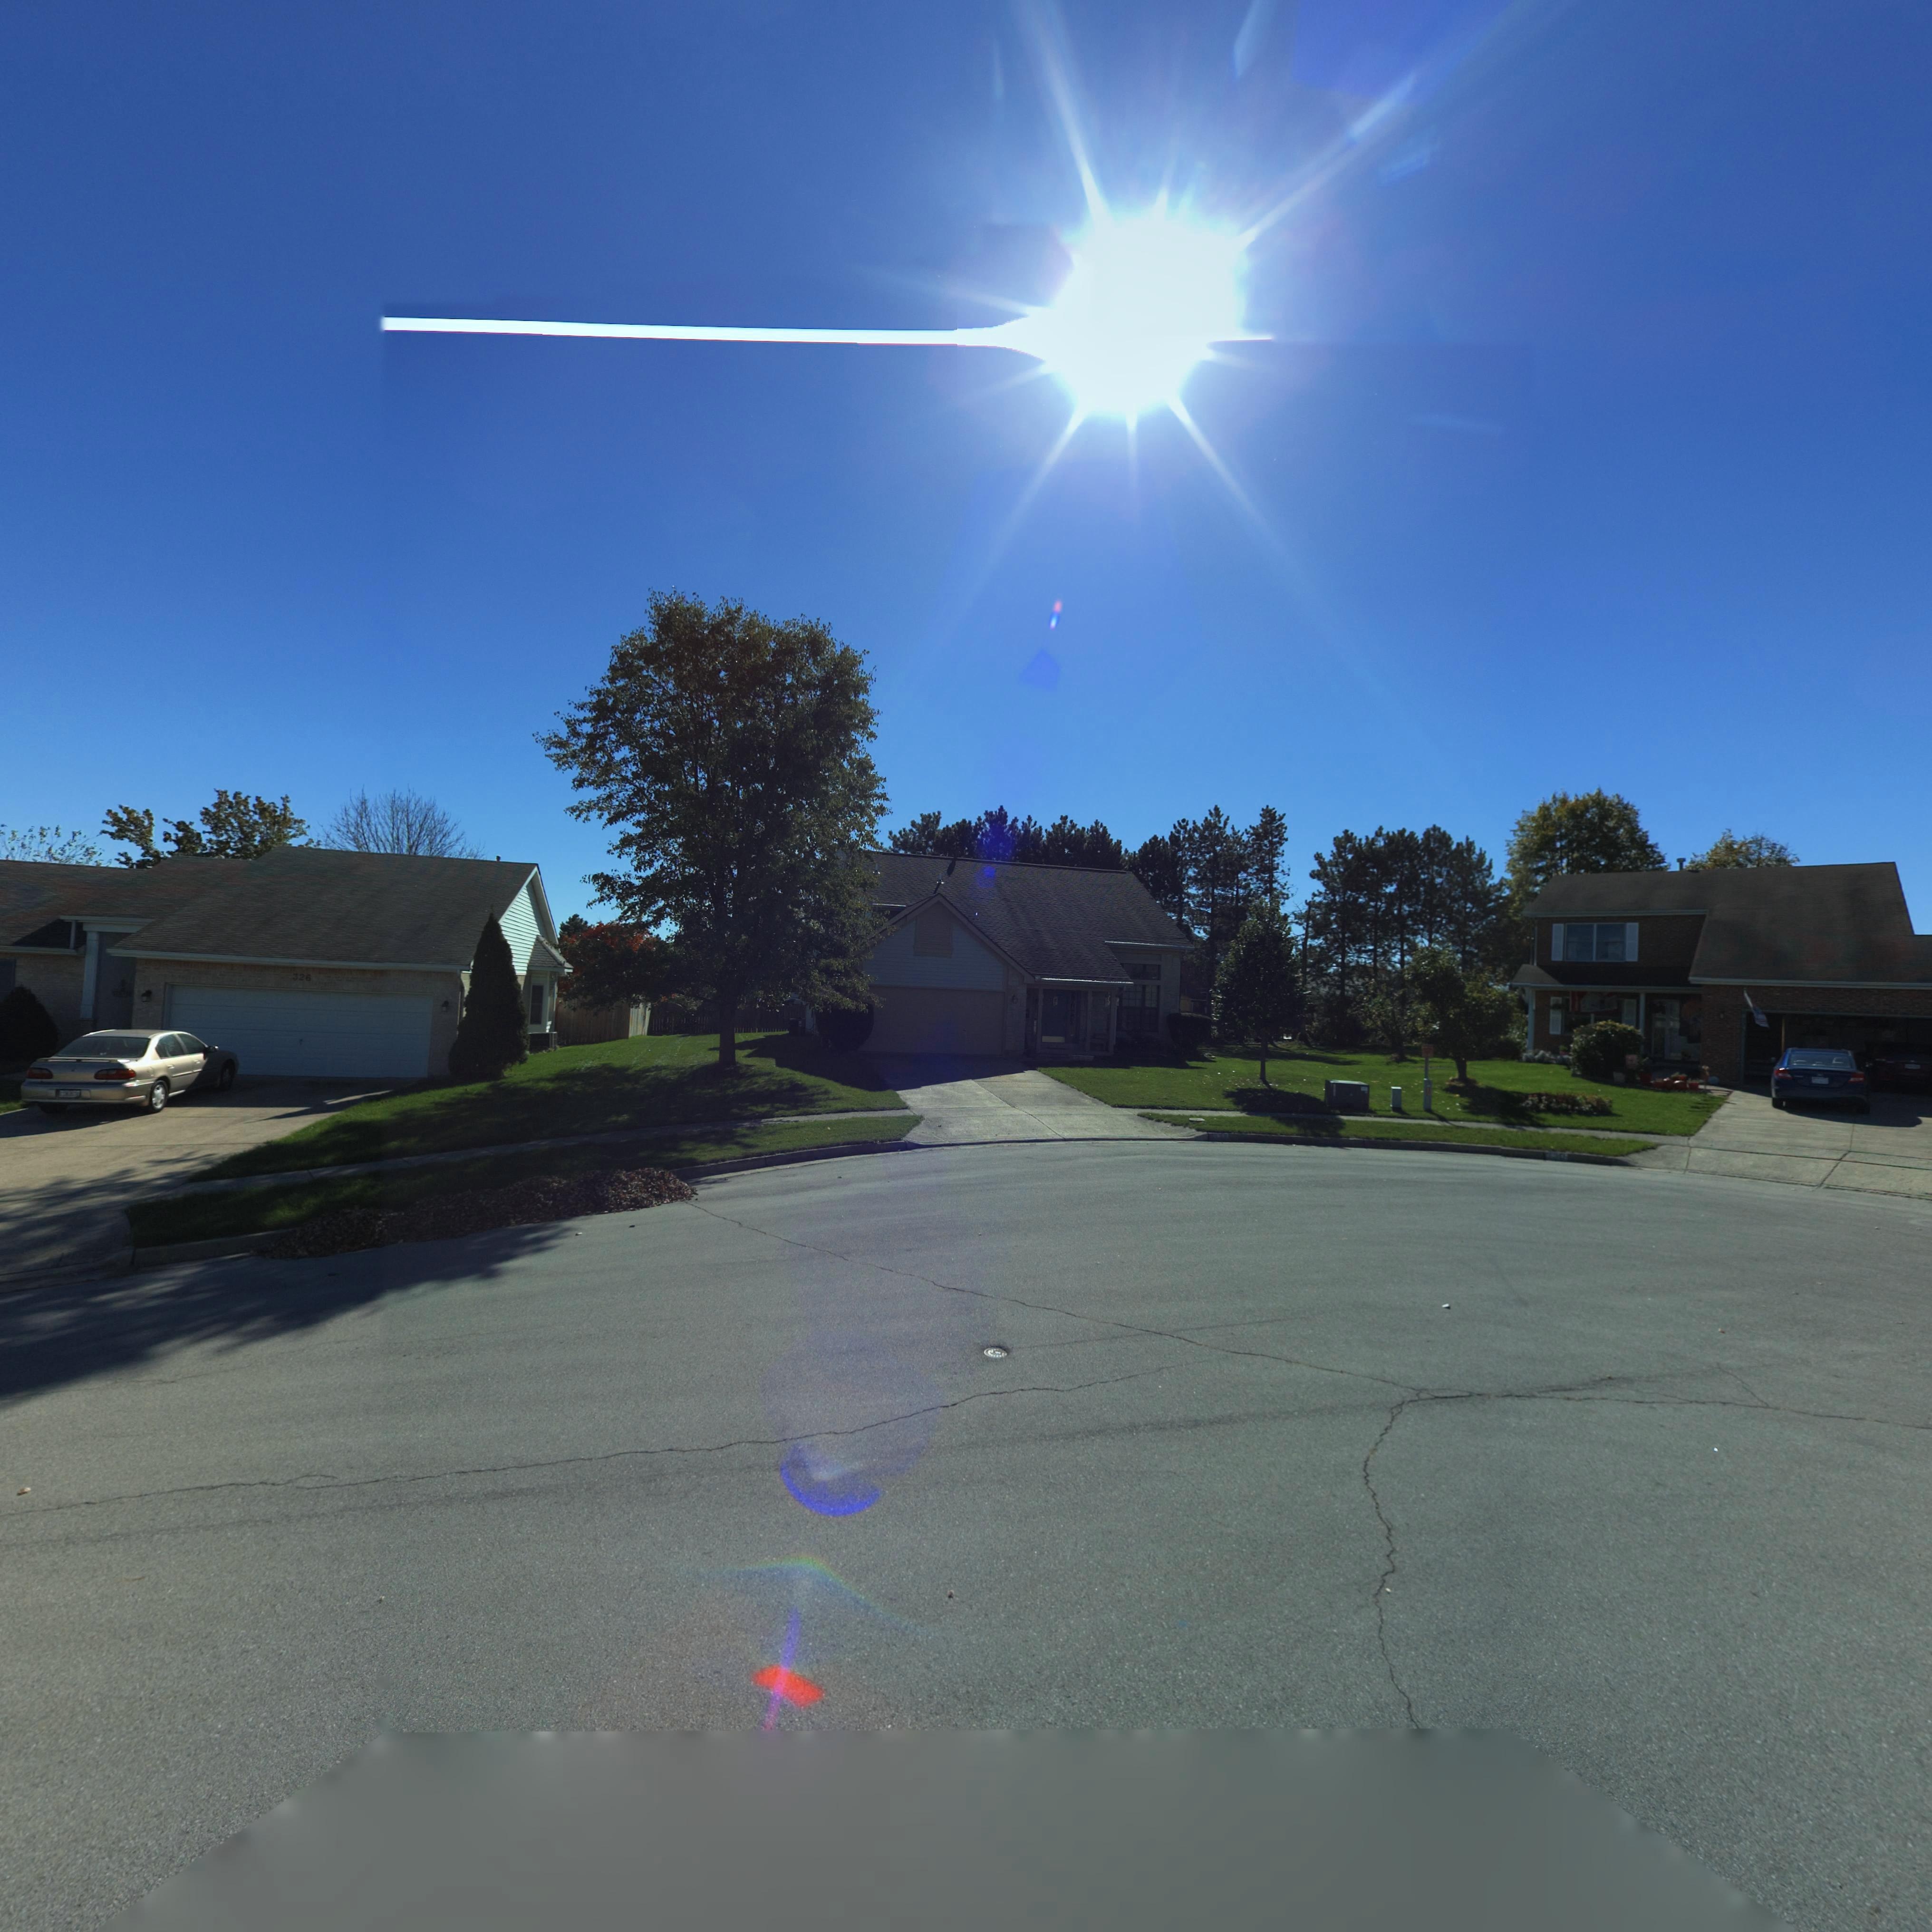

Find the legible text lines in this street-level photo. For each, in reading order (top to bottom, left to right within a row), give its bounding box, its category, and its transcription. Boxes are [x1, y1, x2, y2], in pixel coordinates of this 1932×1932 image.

[291, 973, 312, 982] StreetNumber: 326